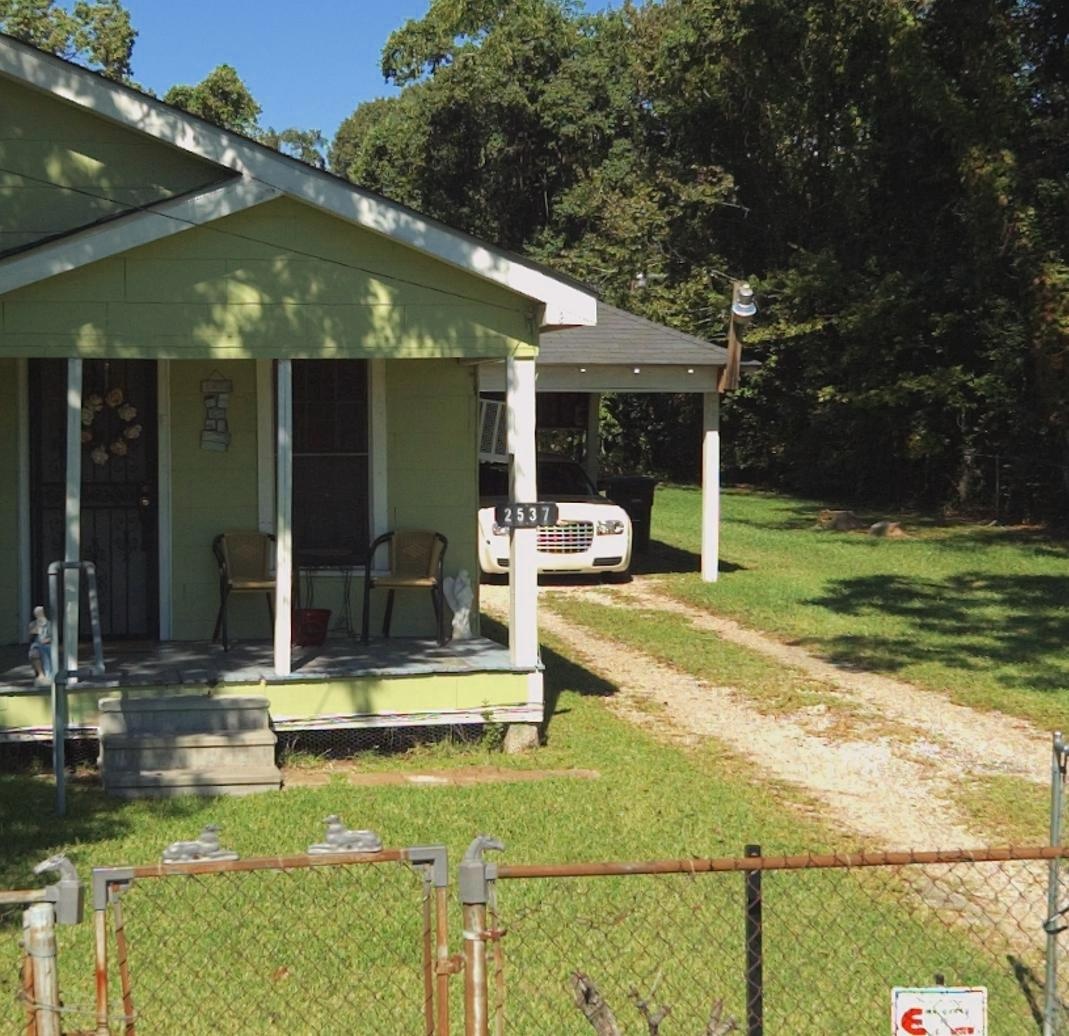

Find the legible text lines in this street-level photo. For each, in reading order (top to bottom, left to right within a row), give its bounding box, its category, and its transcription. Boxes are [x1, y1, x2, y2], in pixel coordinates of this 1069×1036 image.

[503, 506, 551, 523] StreetNumber: 2537